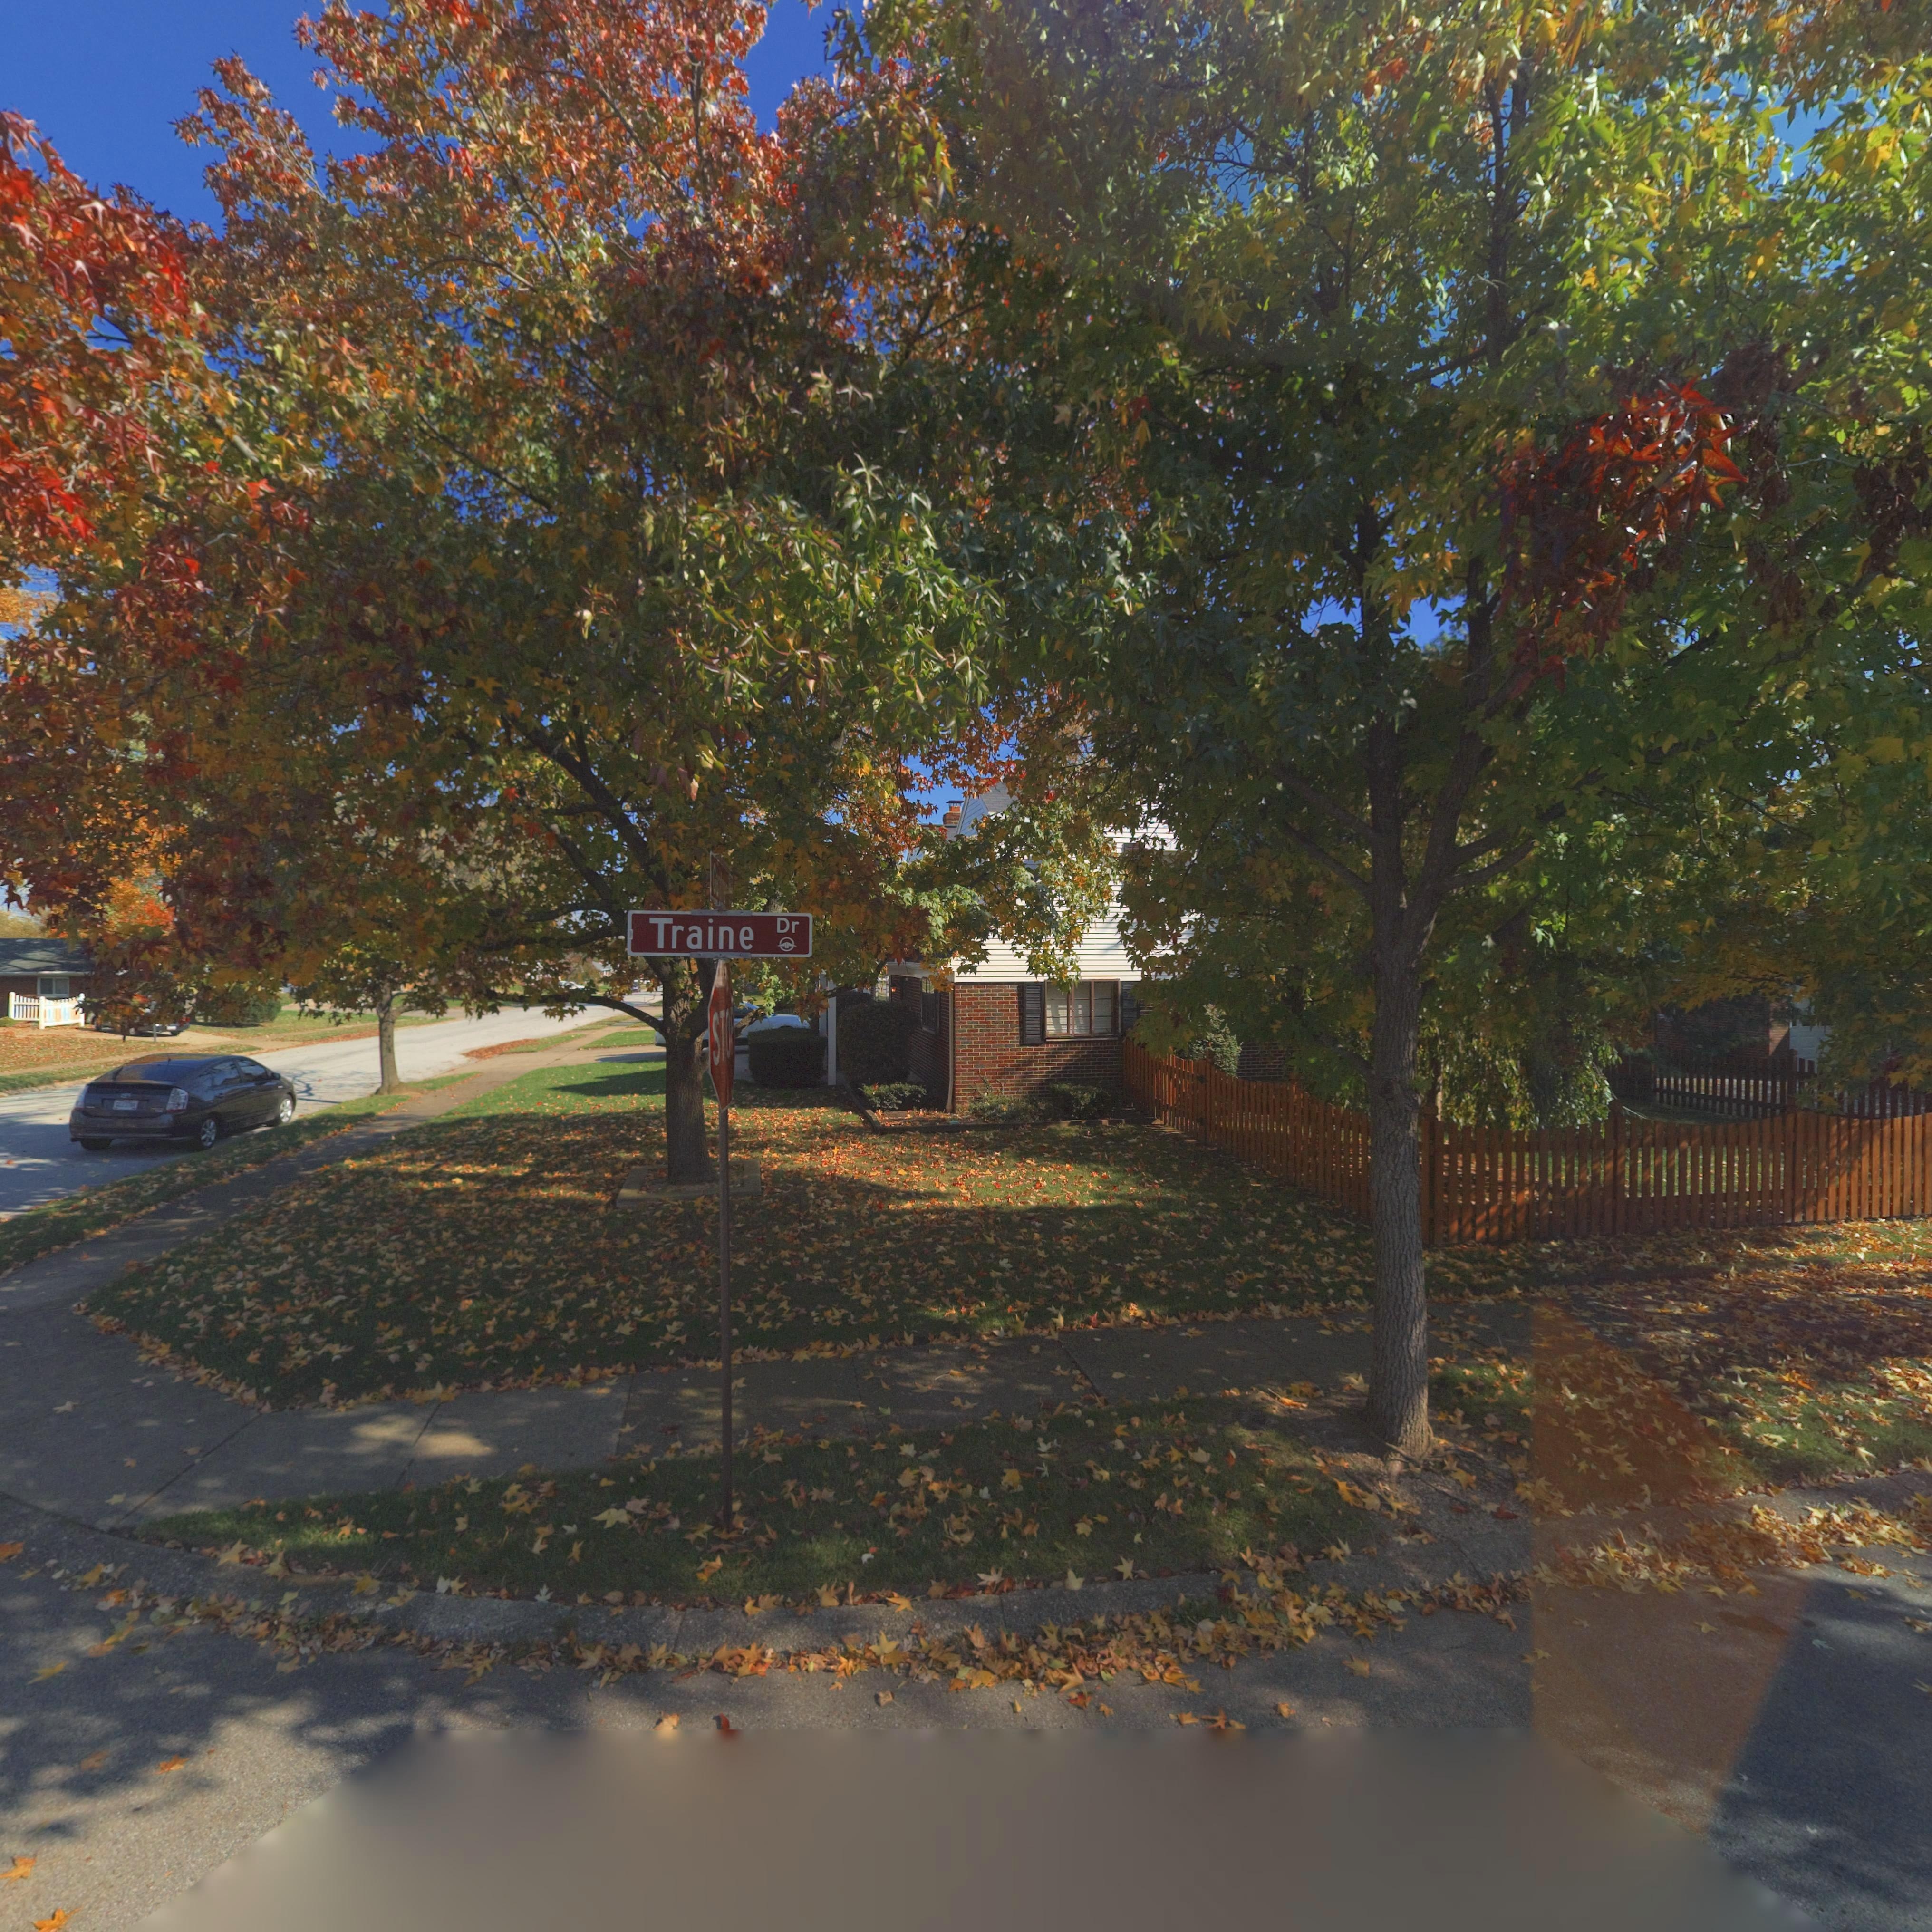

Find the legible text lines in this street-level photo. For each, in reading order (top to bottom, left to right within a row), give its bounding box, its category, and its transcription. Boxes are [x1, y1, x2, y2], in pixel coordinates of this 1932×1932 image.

[647, 916, 801, 951] StreetName: Traine Dr
[710, 1004, 736, 1068] None: STO*